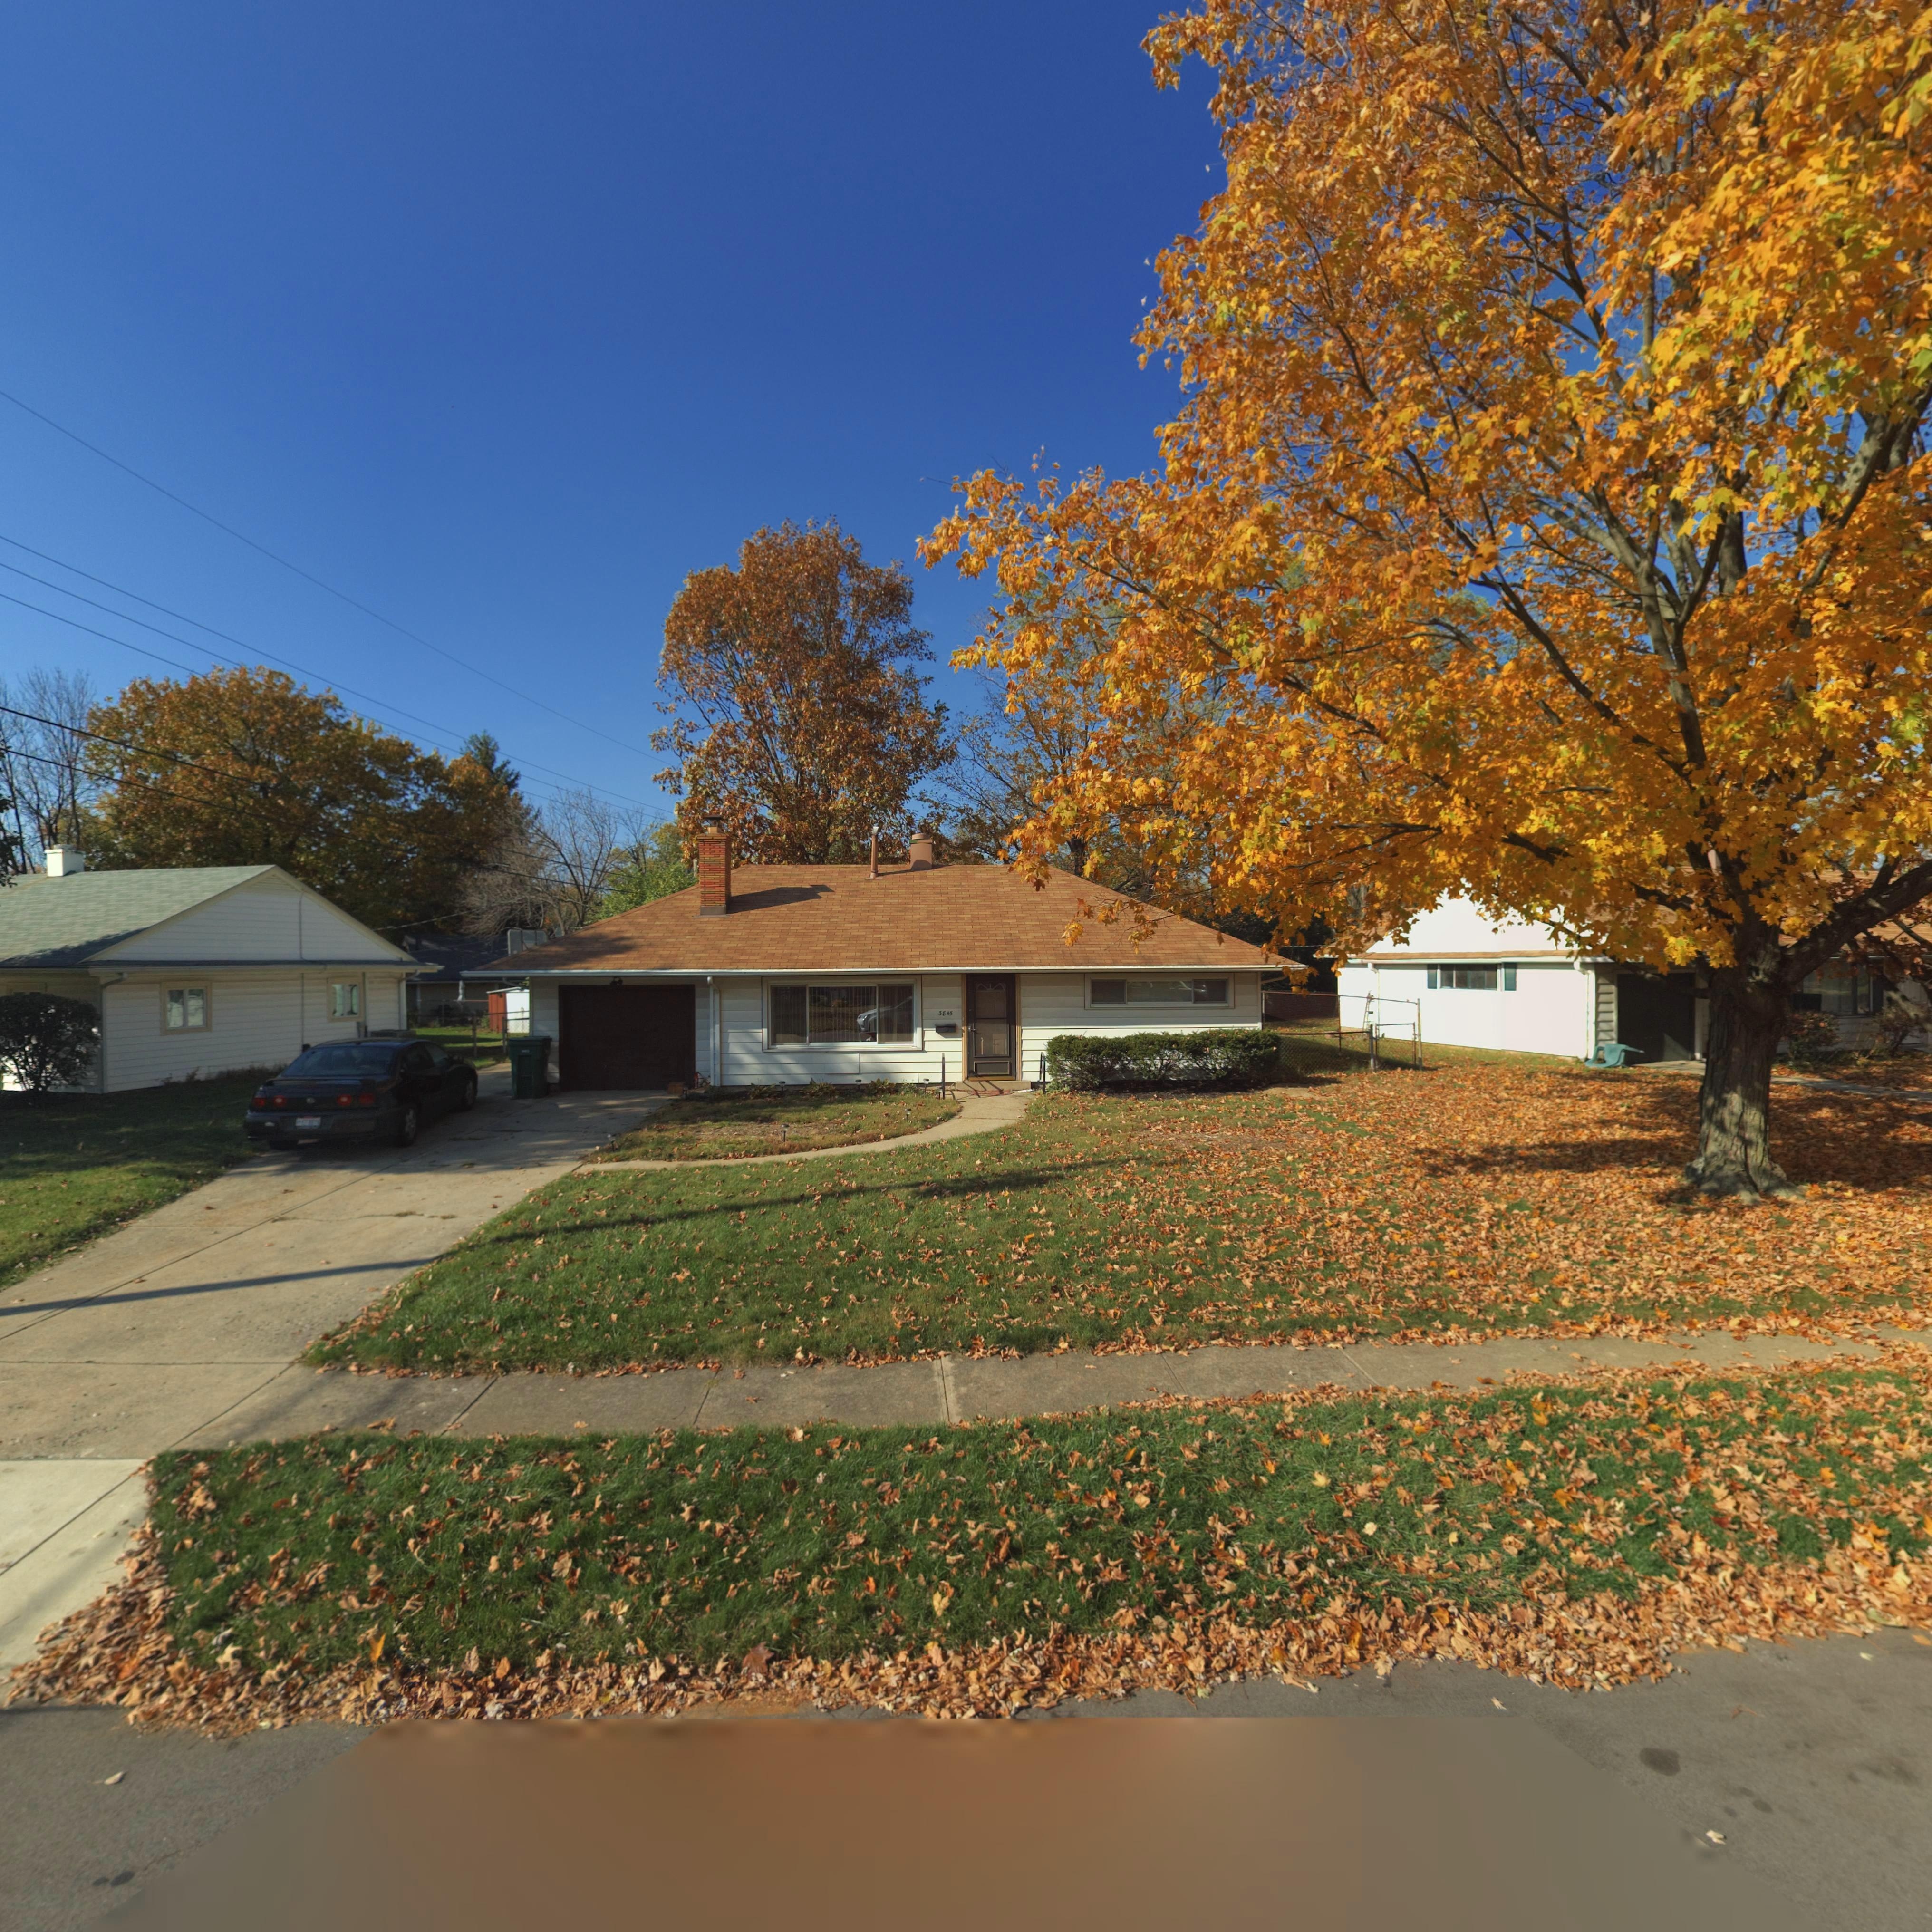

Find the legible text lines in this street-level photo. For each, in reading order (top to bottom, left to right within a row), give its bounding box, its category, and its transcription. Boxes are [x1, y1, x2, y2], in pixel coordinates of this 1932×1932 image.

[937, 1010, 953, 1016] StreetNumber: 3845